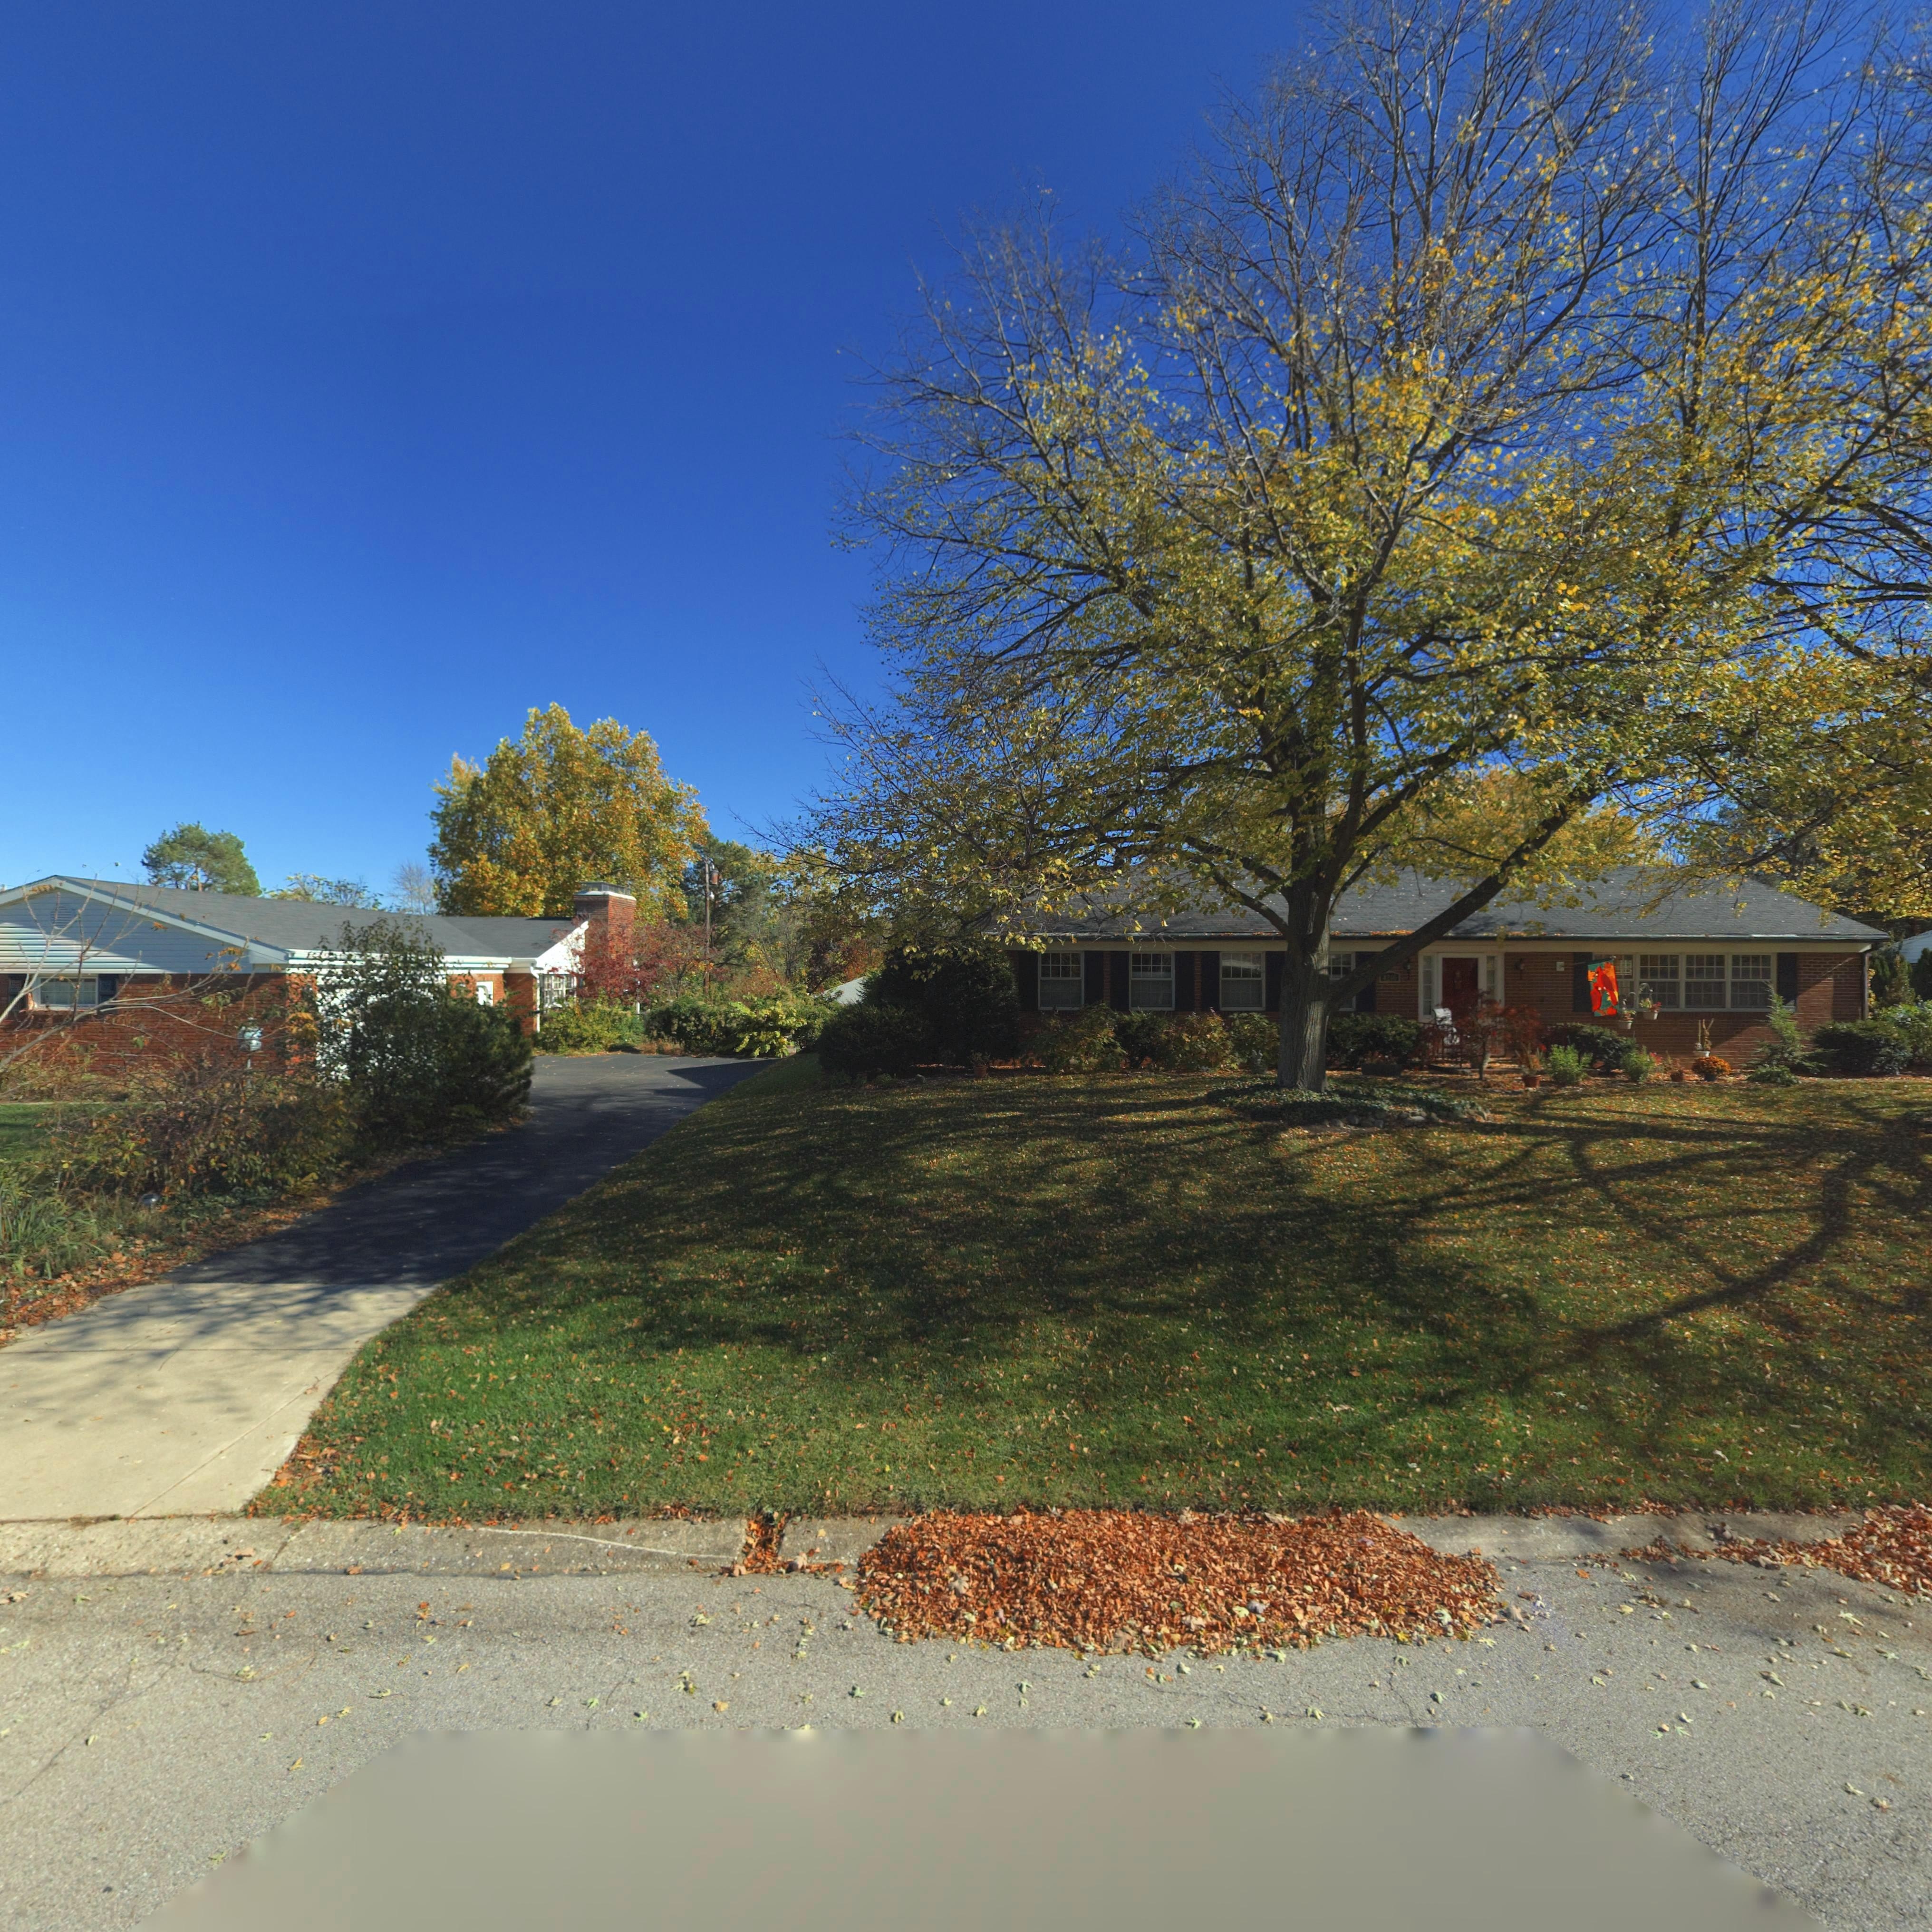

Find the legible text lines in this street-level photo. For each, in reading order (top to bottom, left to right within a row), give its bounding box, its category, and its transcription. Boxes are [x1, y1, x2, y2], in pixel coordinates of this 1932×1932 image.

[1383, 974, 1398, 981] StreetNumber: 4240